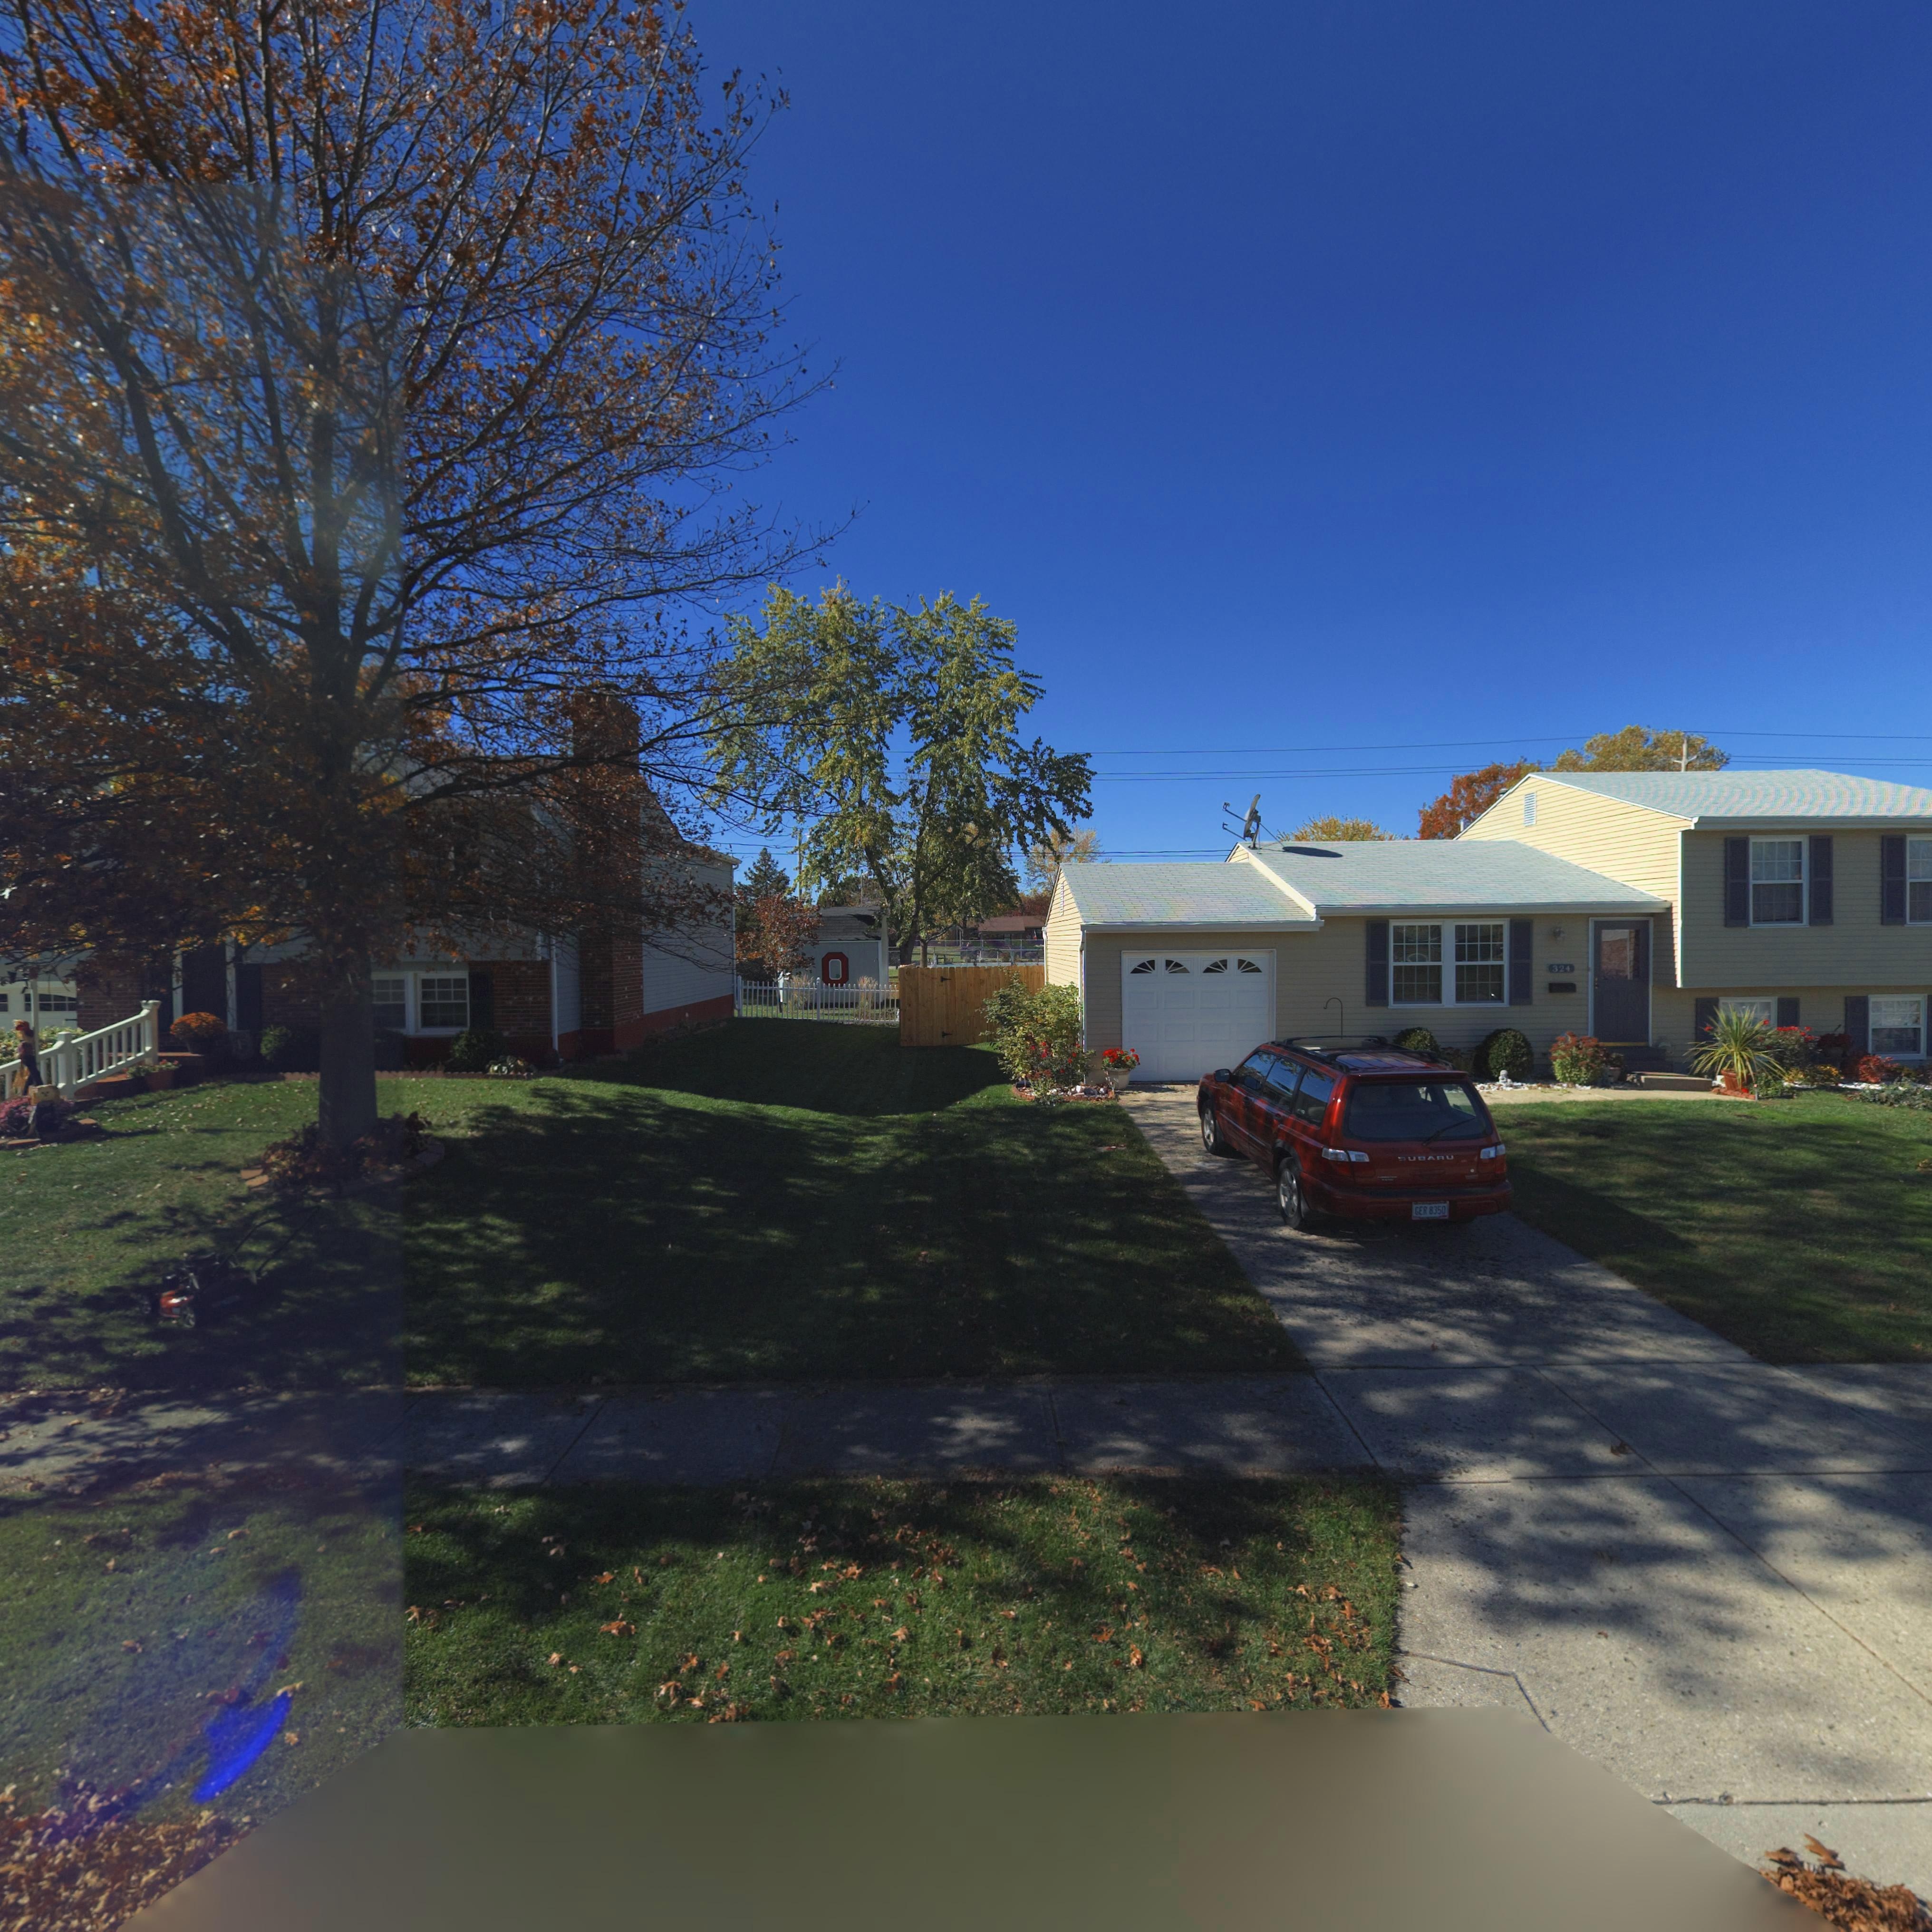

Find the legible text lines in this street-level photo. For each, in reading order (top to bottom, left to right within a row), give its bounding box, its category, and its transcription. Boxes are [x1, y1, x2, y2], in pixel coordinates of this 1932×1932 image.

[1551, 964, 1571, 974] StreetNumber: 324